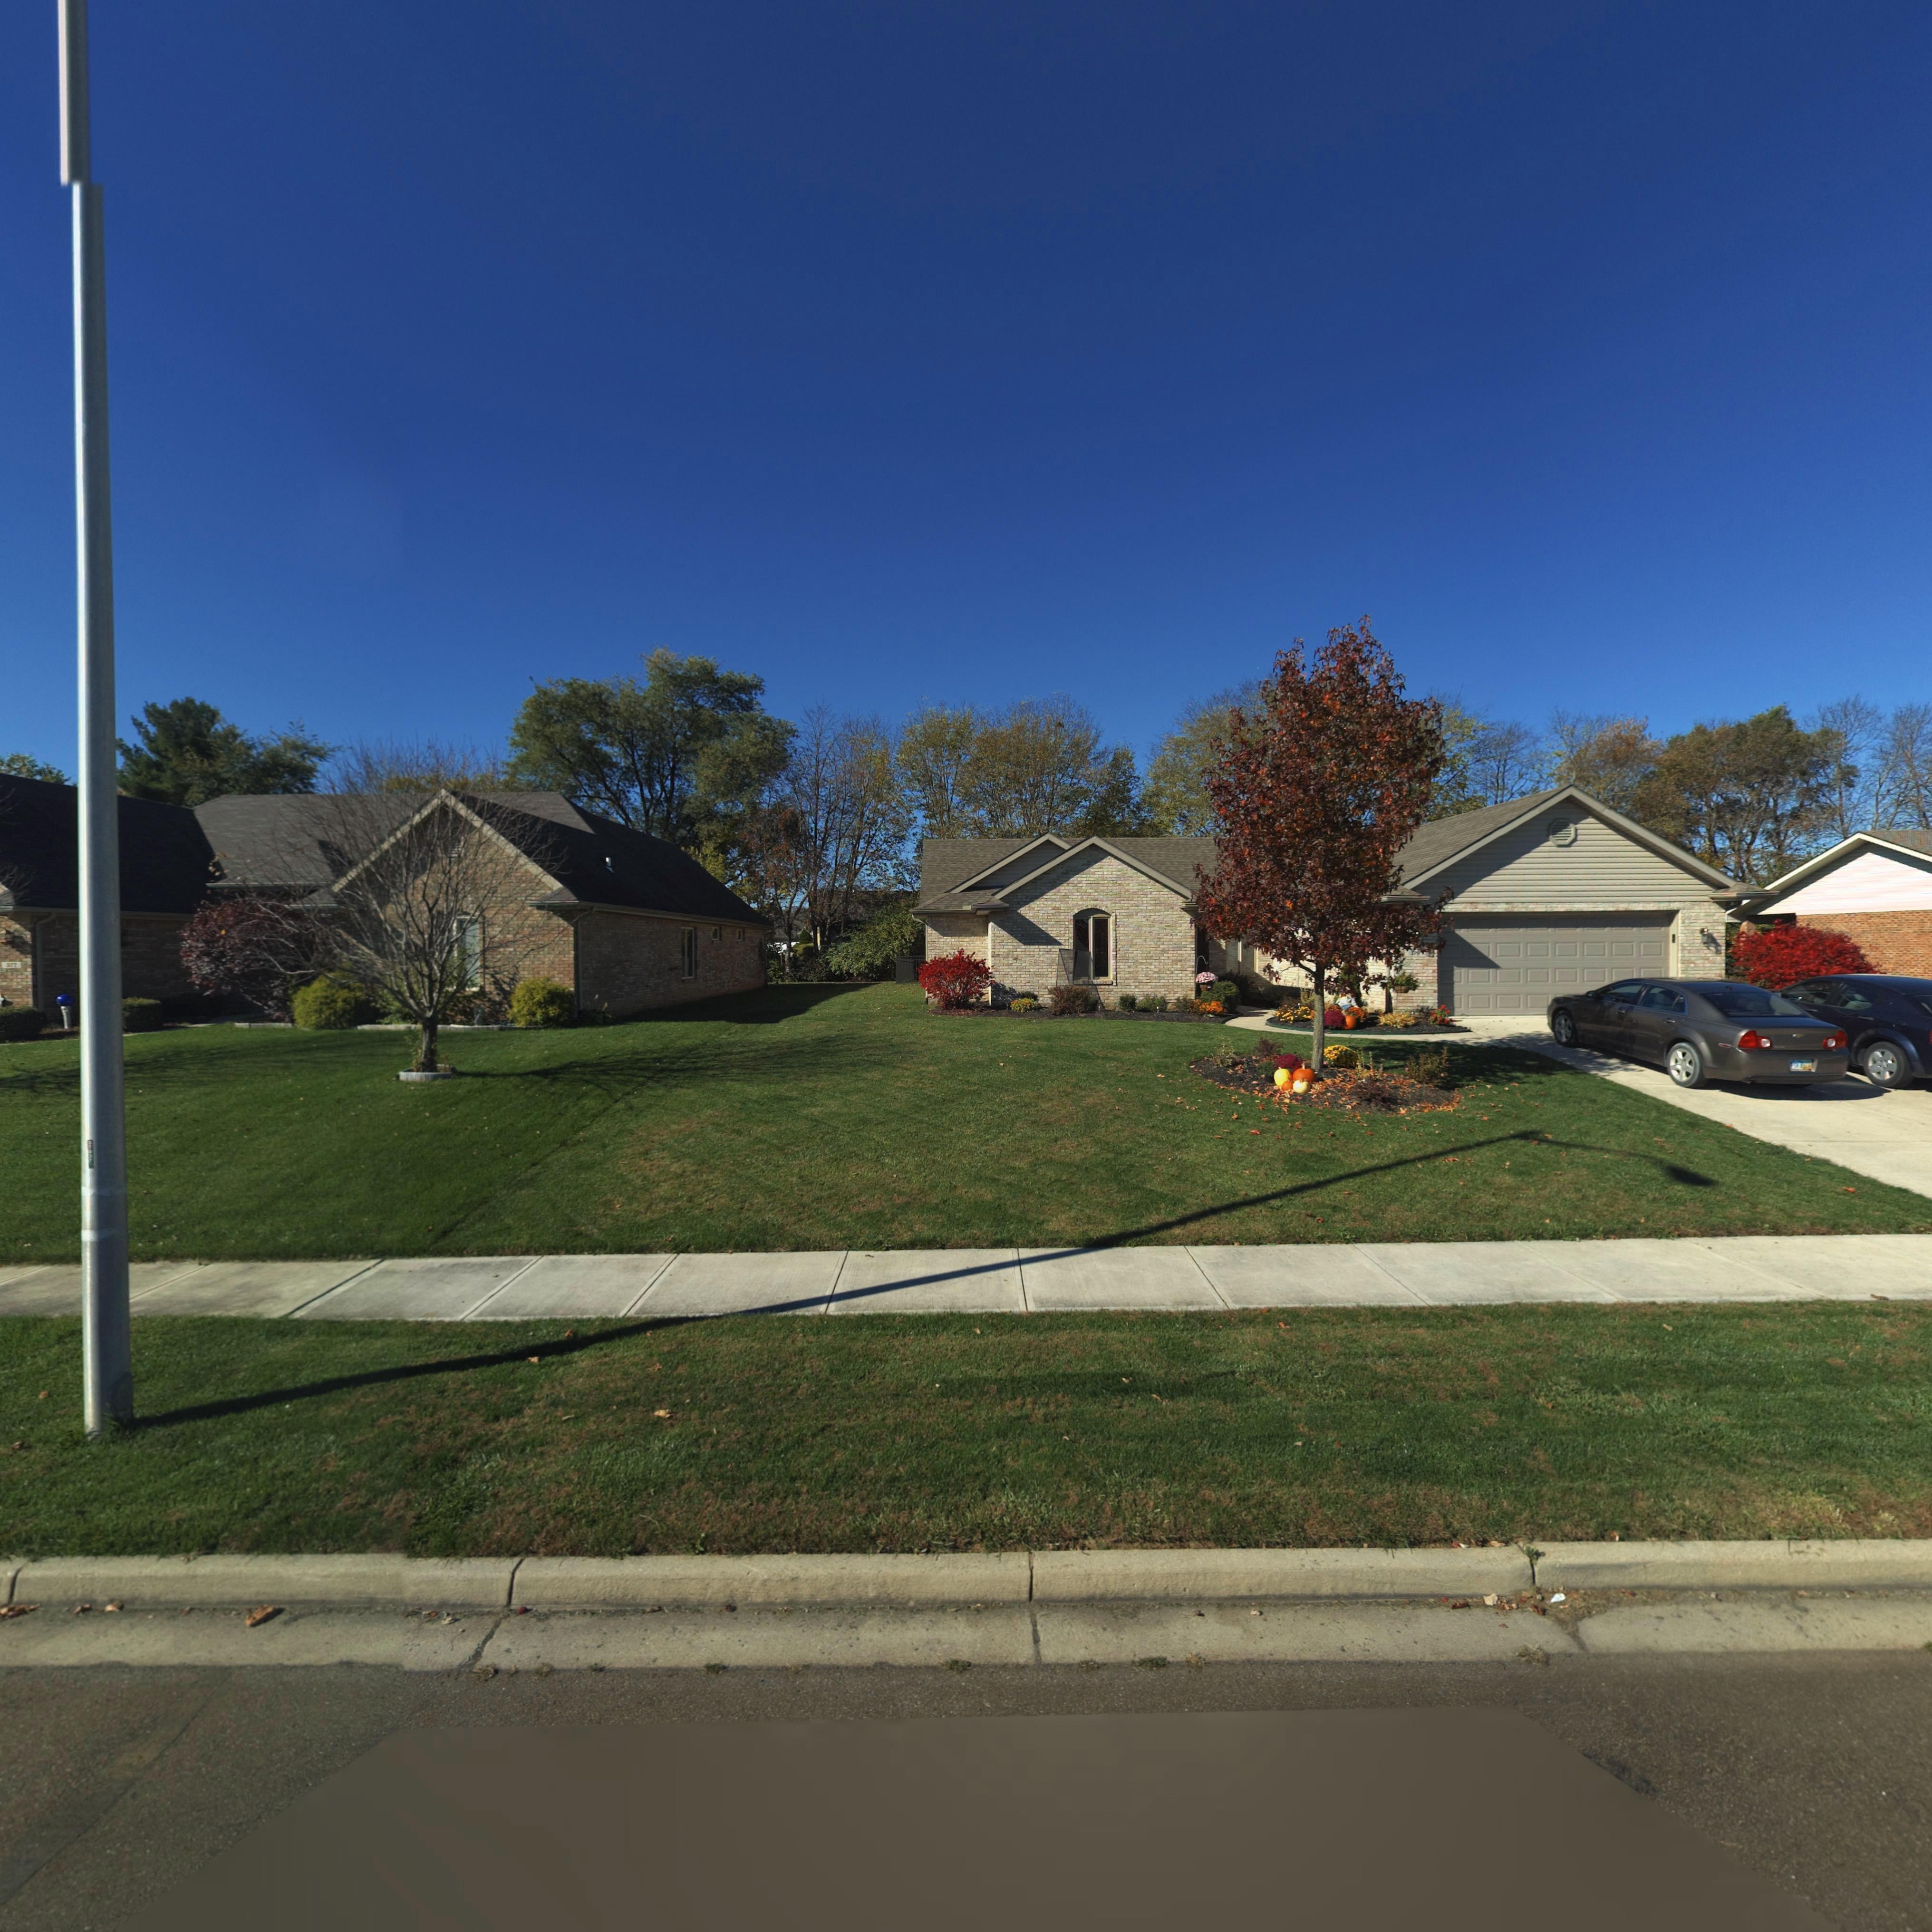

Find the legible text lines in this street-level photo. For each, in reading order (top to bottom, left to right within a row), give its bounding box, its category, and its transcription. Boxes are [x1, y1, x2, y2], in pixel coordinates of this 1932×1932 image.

[1410, 951, 1420, 956] StreetNumber: 379
[5, 962, 17, 967] StreetNumber: 377\